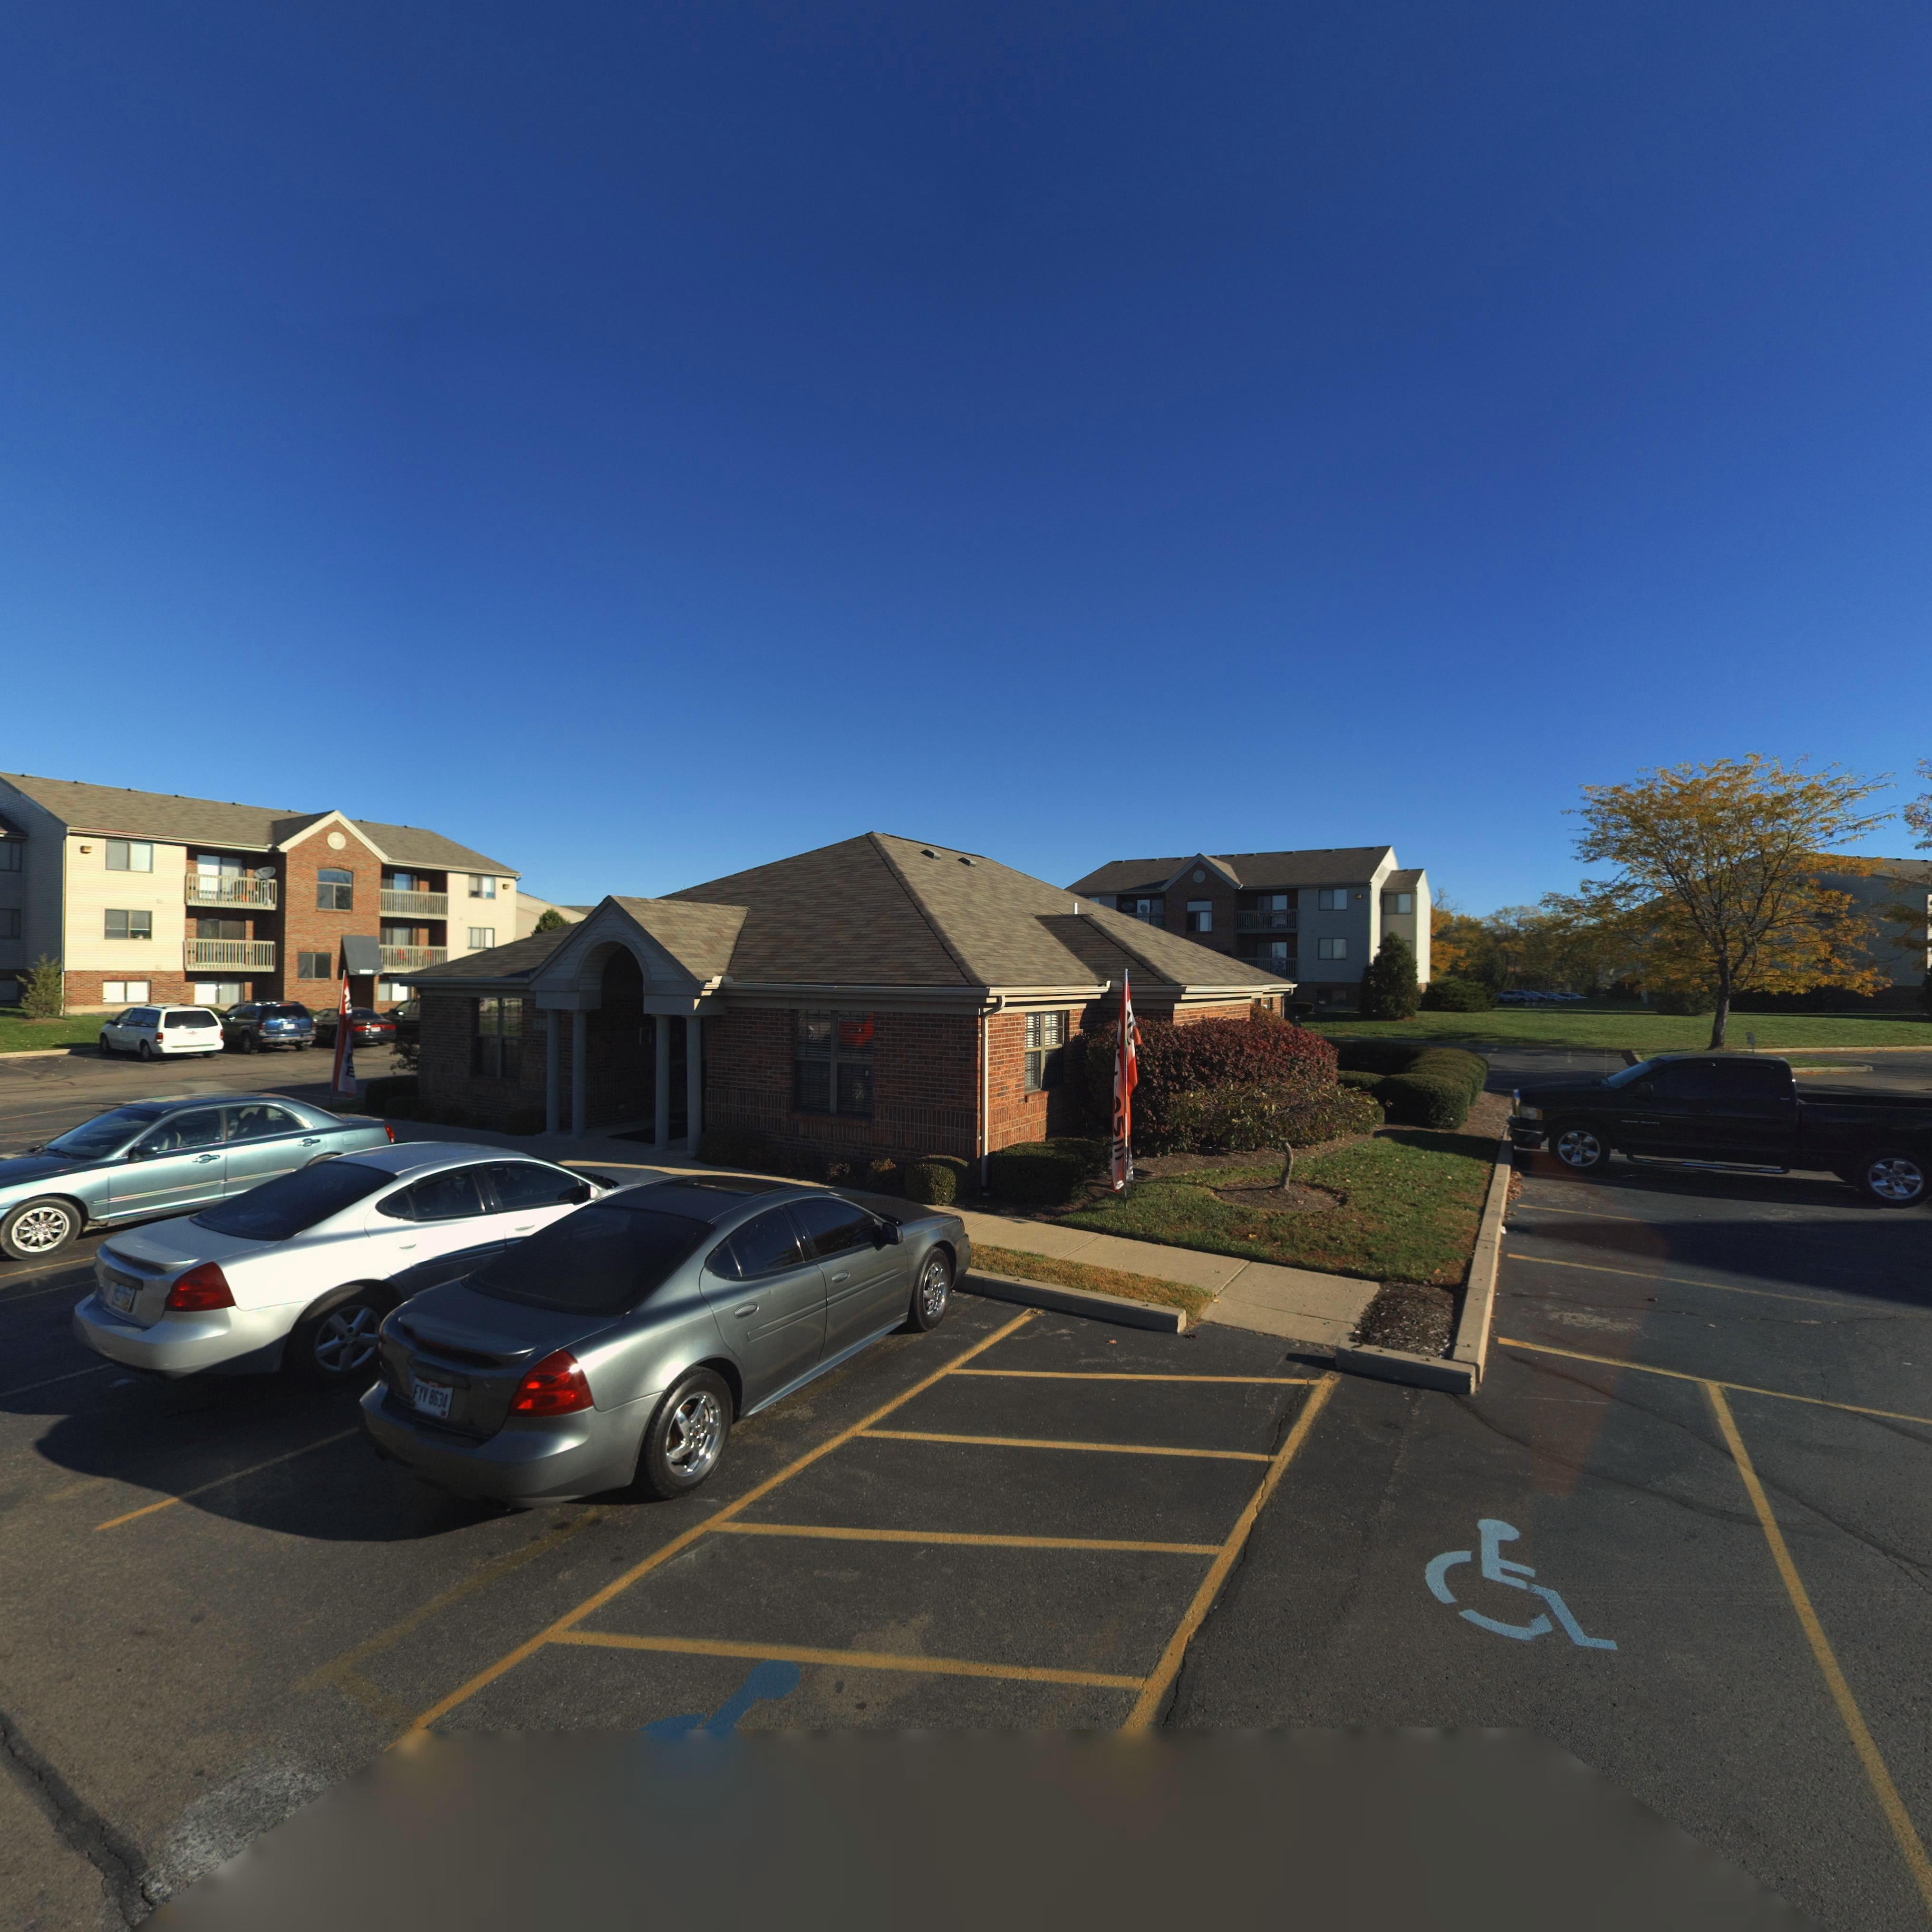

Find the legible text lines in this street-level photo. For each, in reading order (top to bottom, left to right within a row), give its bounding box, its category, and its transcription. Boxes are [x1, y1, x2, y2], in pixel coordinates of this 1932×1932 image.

[358, 969, 374, 974] StreetNumber: 2**7
[535, 1019, 545, 1029] StreetNumber: 26